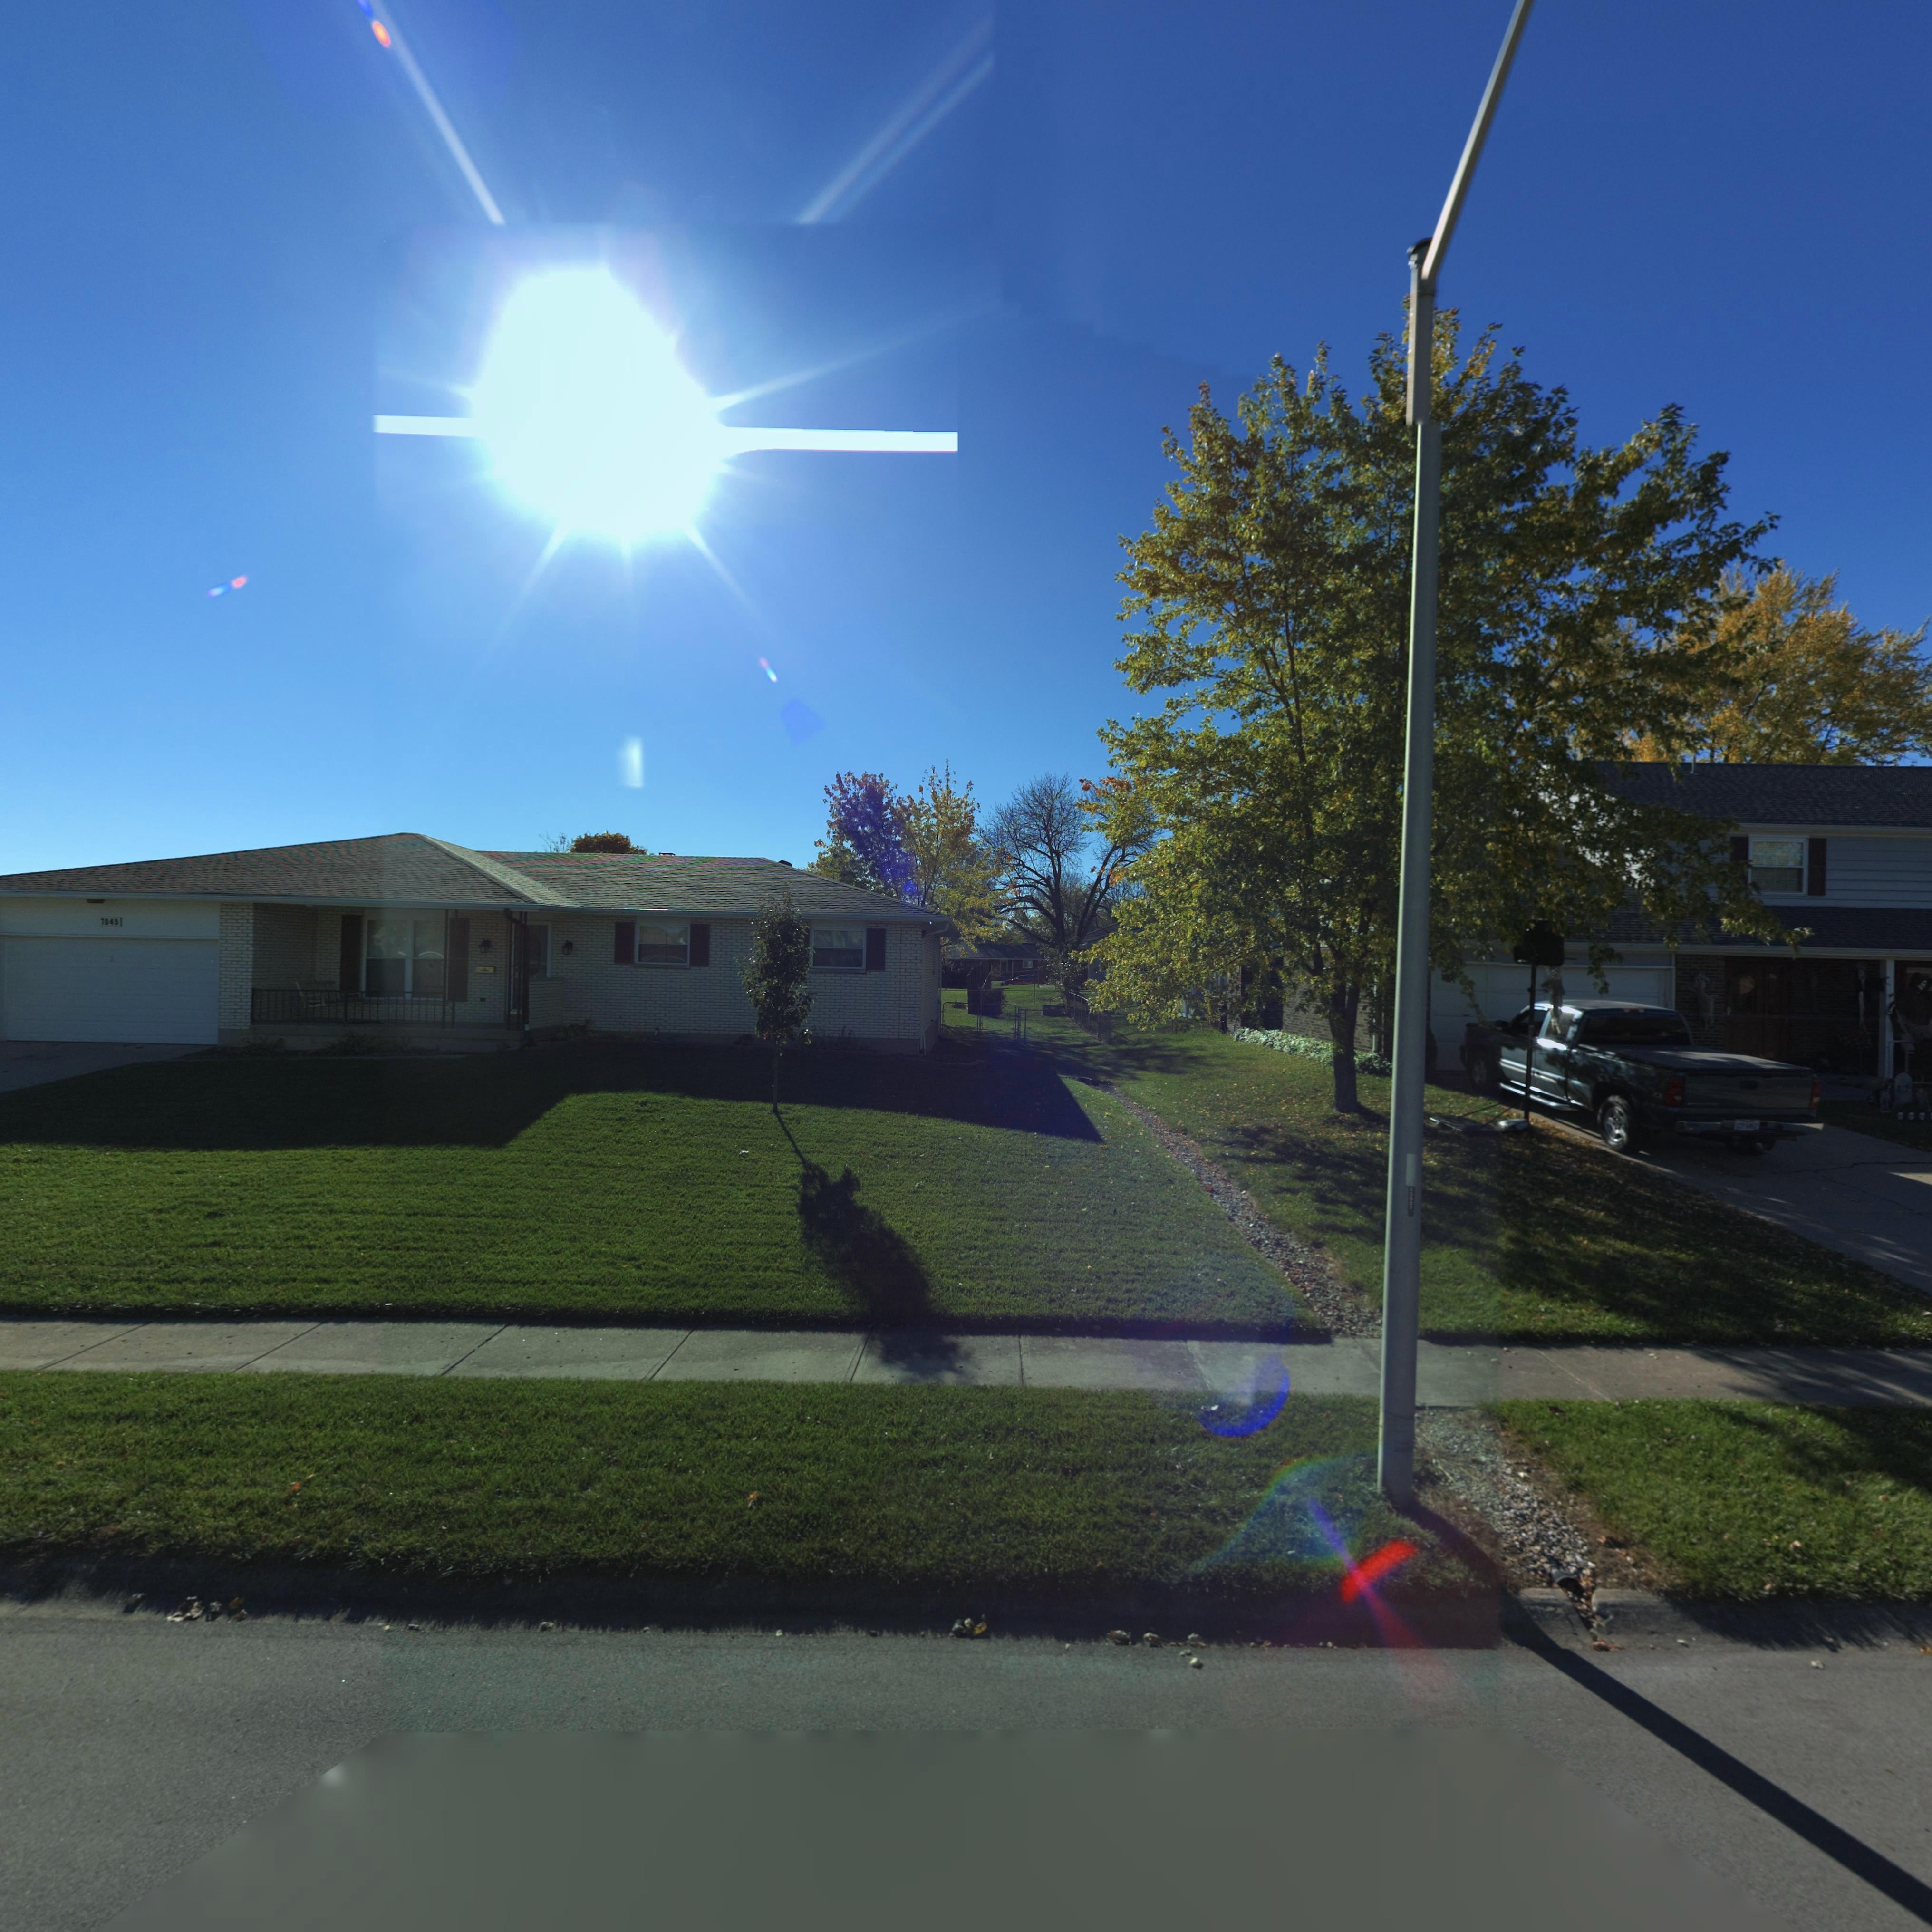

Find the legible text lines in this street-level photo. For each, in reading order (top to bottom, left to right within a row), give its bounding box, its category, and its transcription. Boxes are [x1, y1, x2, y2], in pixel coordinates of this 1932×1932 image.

[99, 918, 119, 926] StreetNumber: 7045